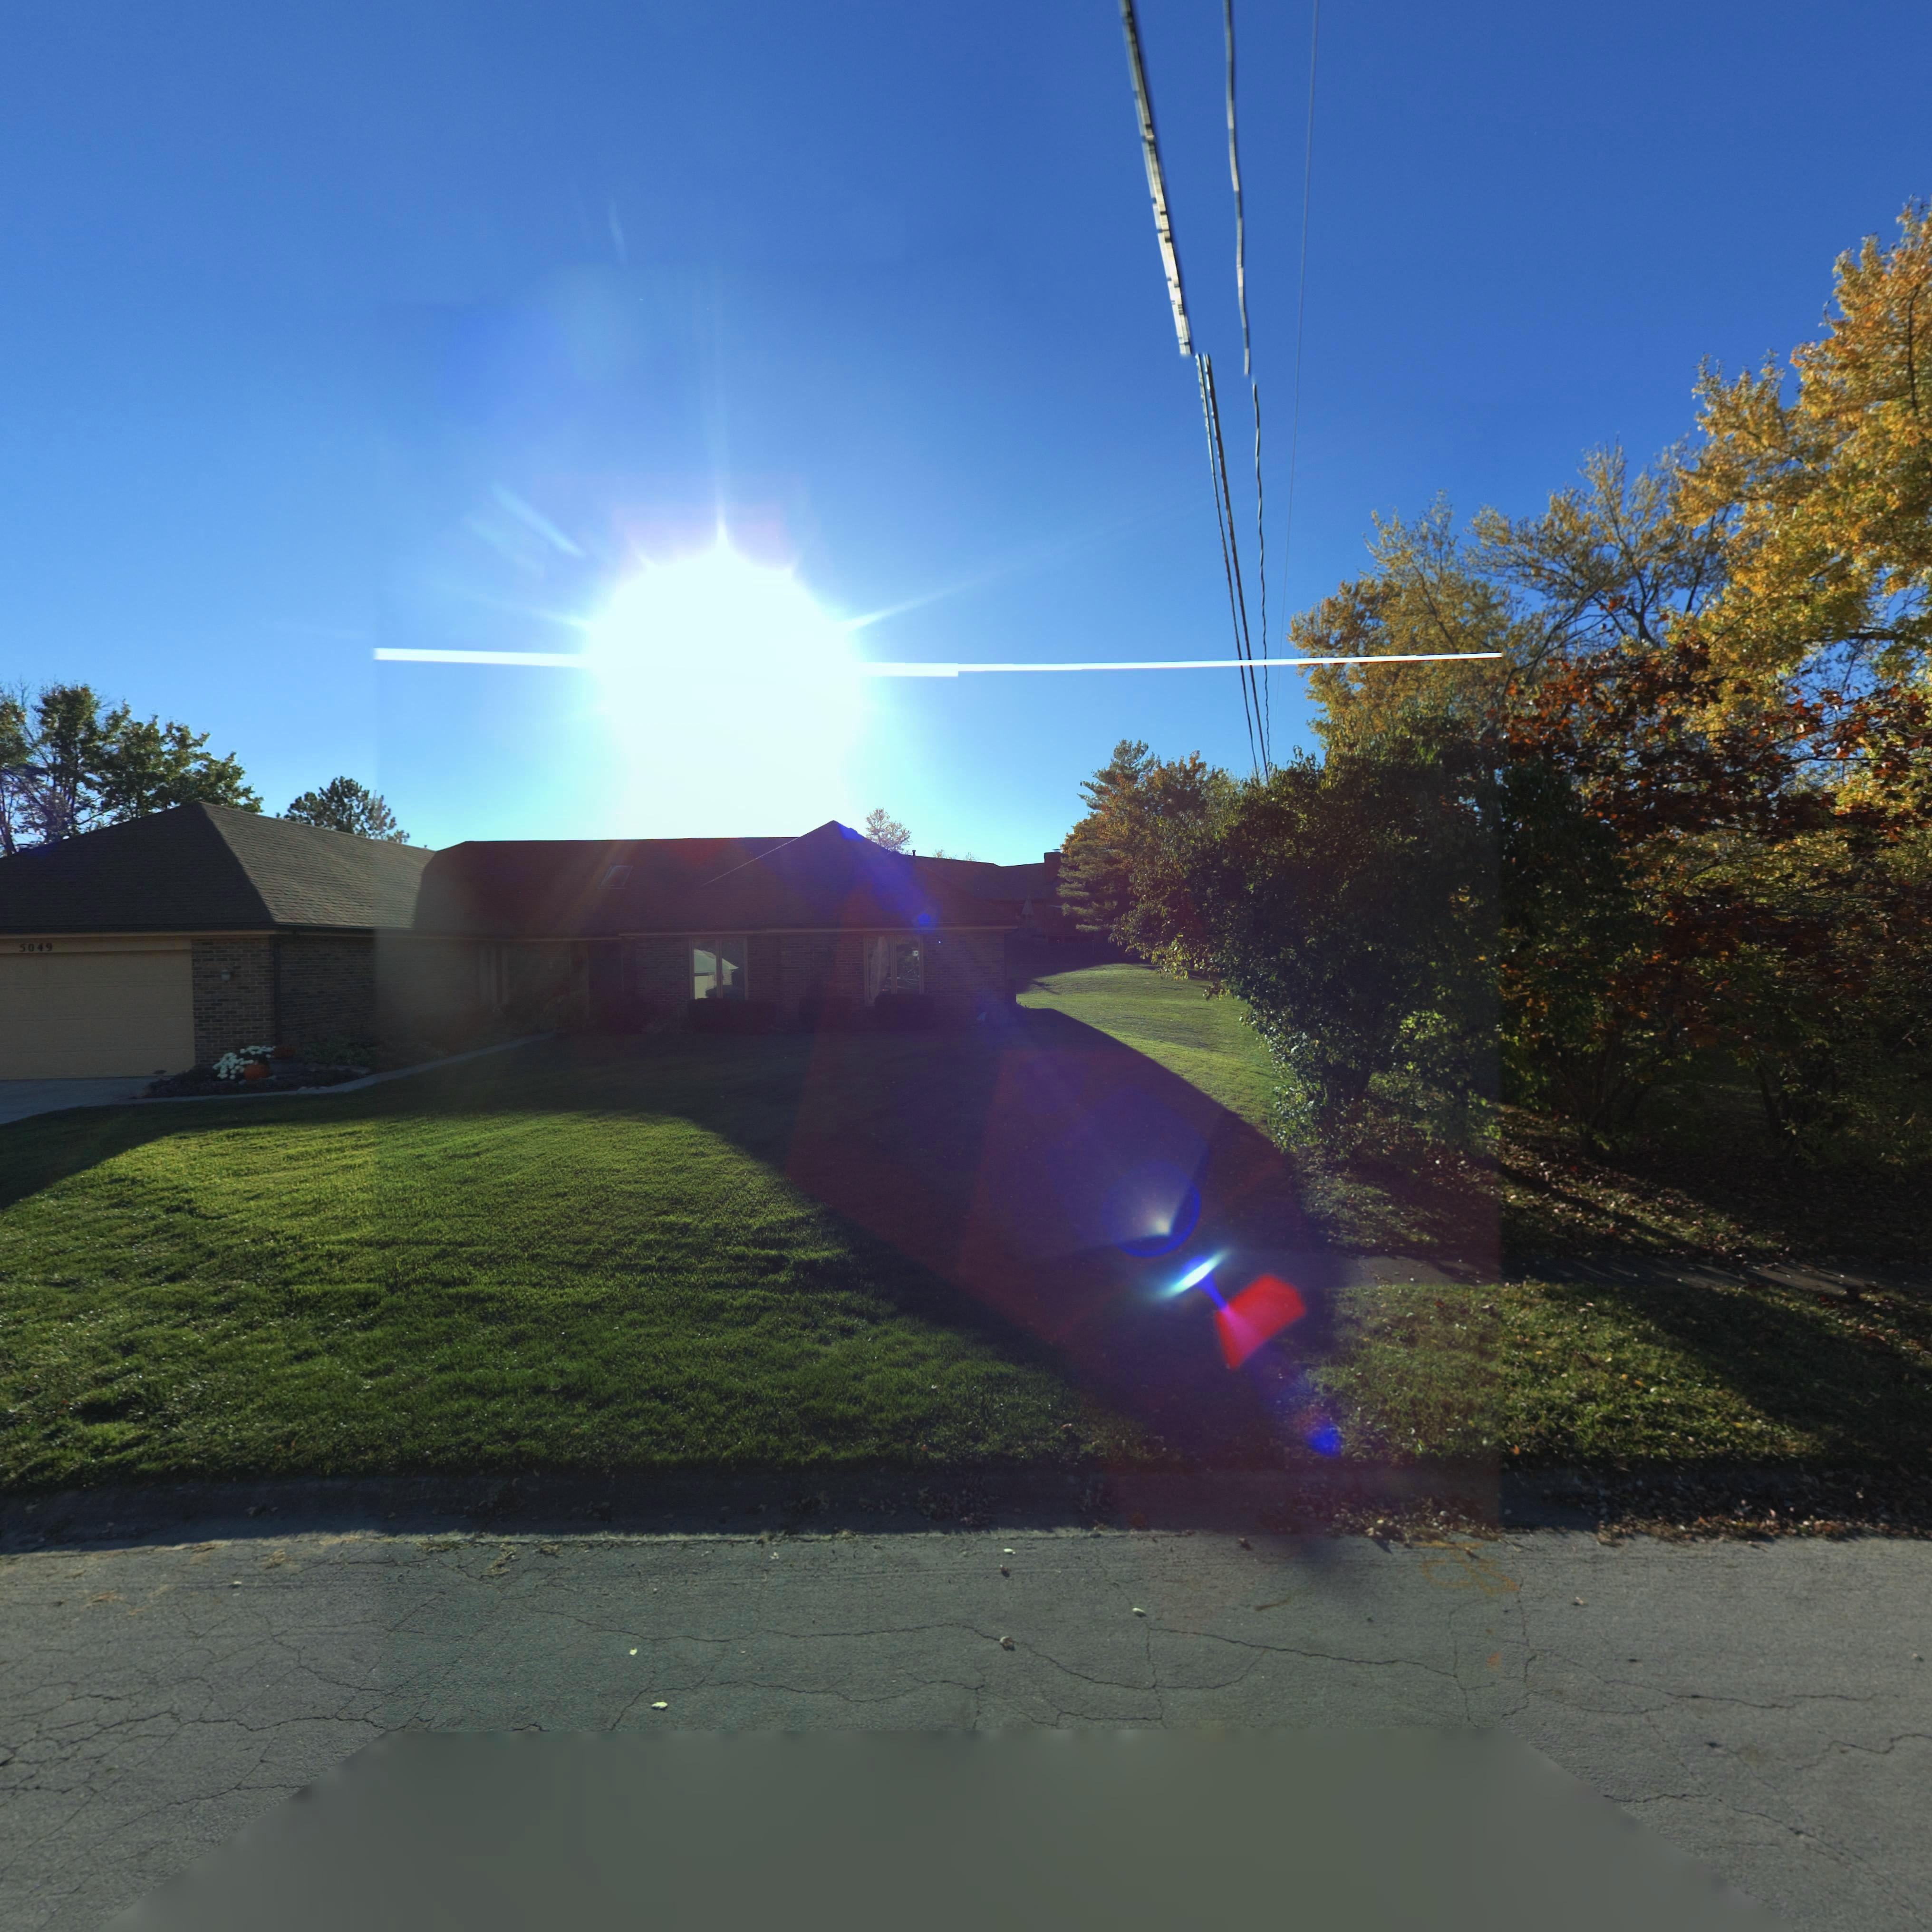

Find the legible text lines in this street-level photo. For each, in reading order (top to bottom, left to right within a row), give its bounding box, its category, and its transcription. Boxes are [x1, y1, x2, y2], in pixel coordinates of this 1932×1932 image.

[18, 941, 54, 953] StreetNumber: 5049